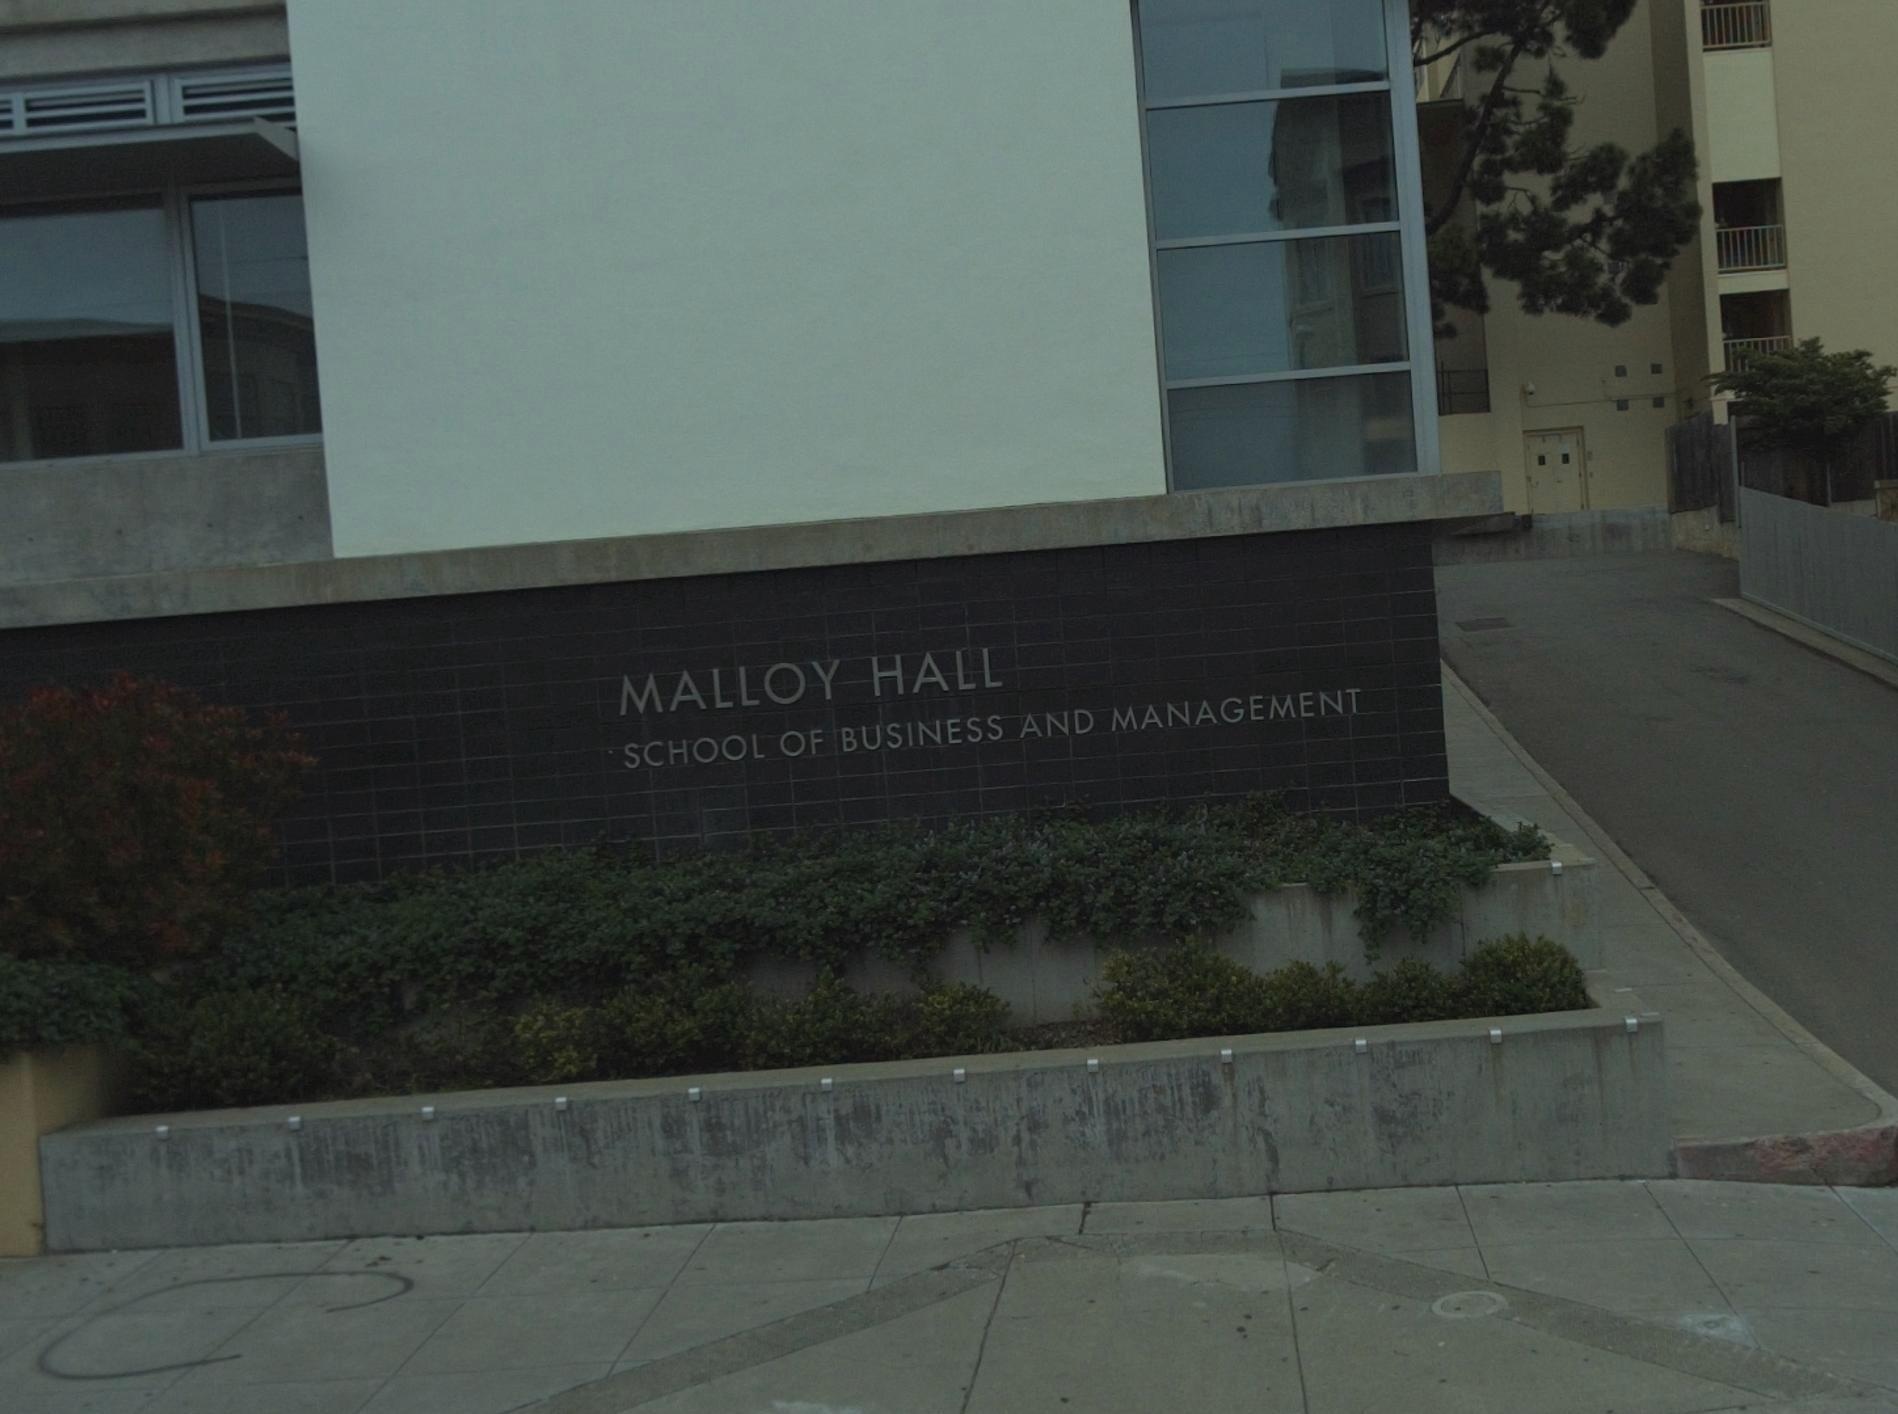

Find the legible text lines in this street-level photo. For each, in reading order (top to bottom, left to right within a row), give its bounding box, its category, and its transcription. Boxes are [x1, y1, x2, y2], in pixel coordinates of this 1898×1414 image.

[616, 642, 1006, 720] BusinessName: MALLOY HALL
[619, 684, 1363, 775] None: SCHOOL OF BUSINESS AND MANAGEMENT